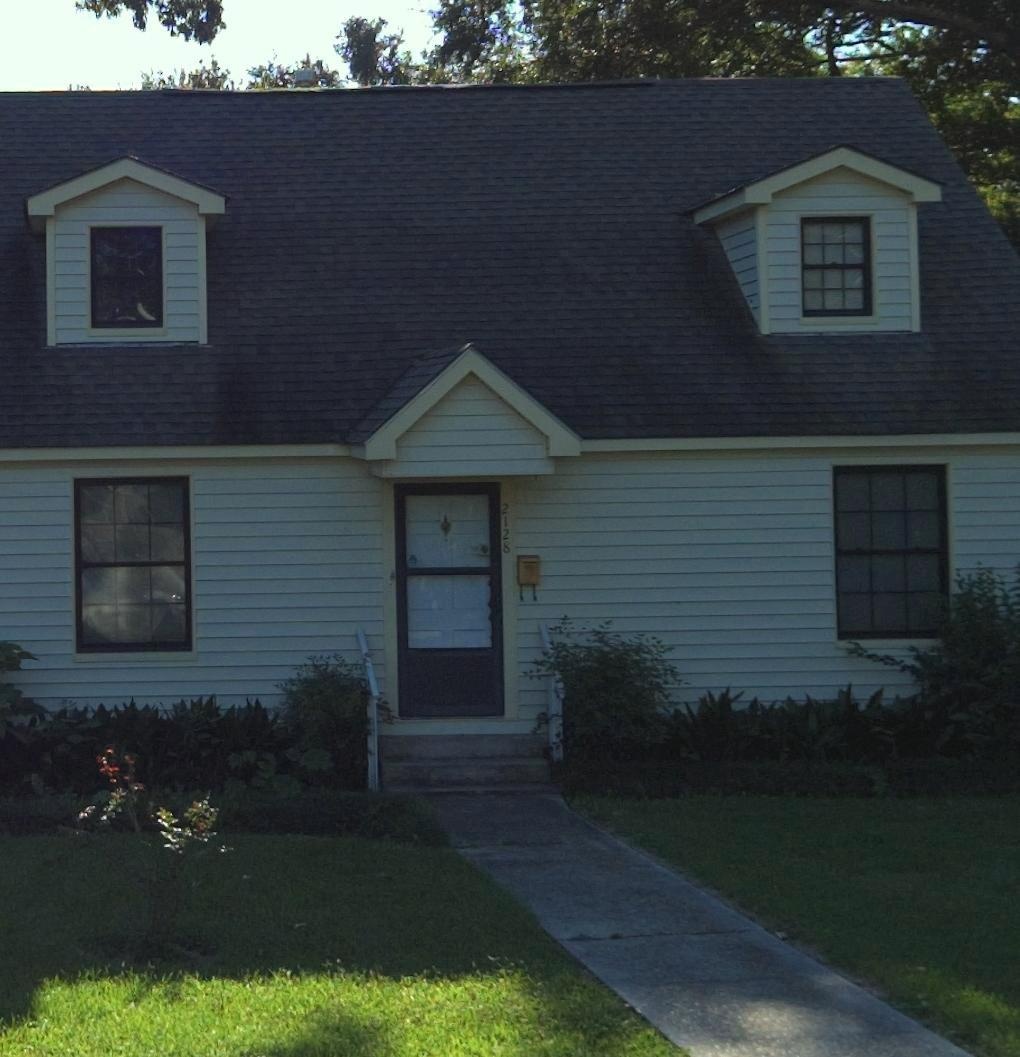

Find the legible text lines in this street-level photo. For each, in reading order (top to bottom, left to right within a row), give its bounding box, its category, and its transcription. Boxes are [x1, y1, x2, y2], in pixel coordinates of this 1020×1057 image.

[500, 500, 512, 557] StreetNumber: 2128